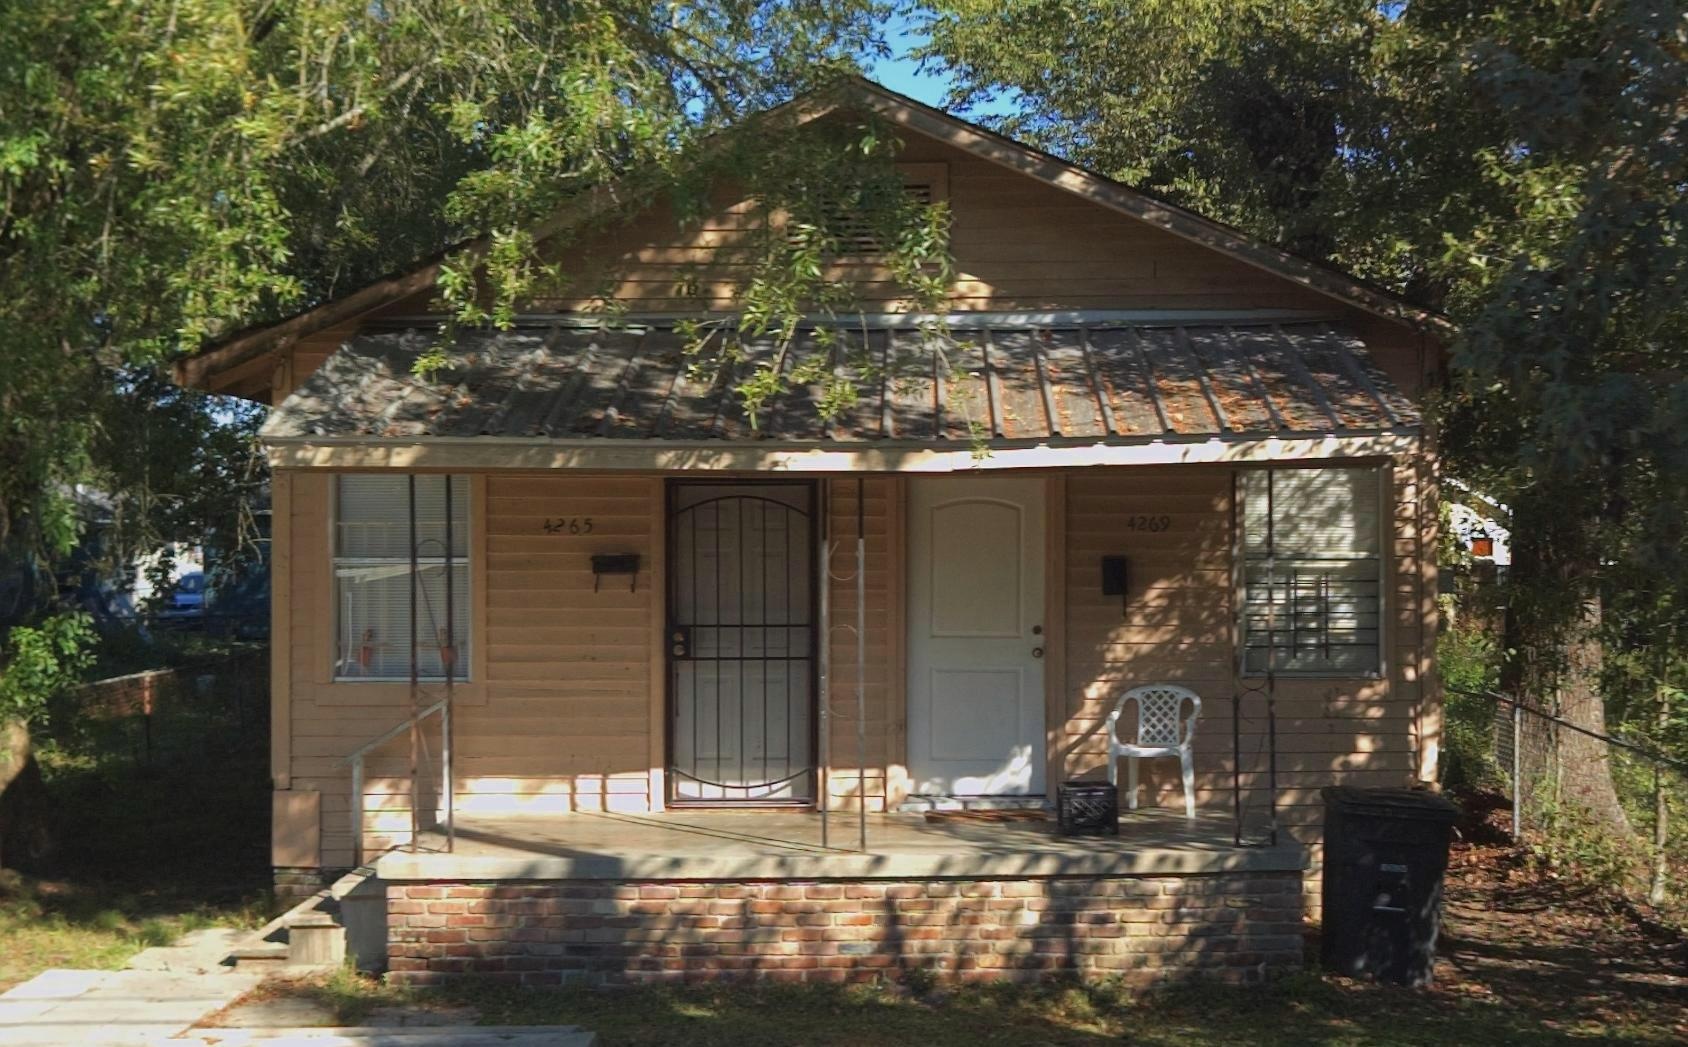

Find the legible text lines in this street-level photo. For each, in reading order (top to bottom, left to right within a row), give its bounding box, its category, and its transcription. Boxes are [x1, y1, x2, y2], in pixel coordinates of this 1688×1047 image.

[540, 515, 595, 537] StreetNumber: 4265
[1124, 513, 1173, 534] StreetNumber: 4269